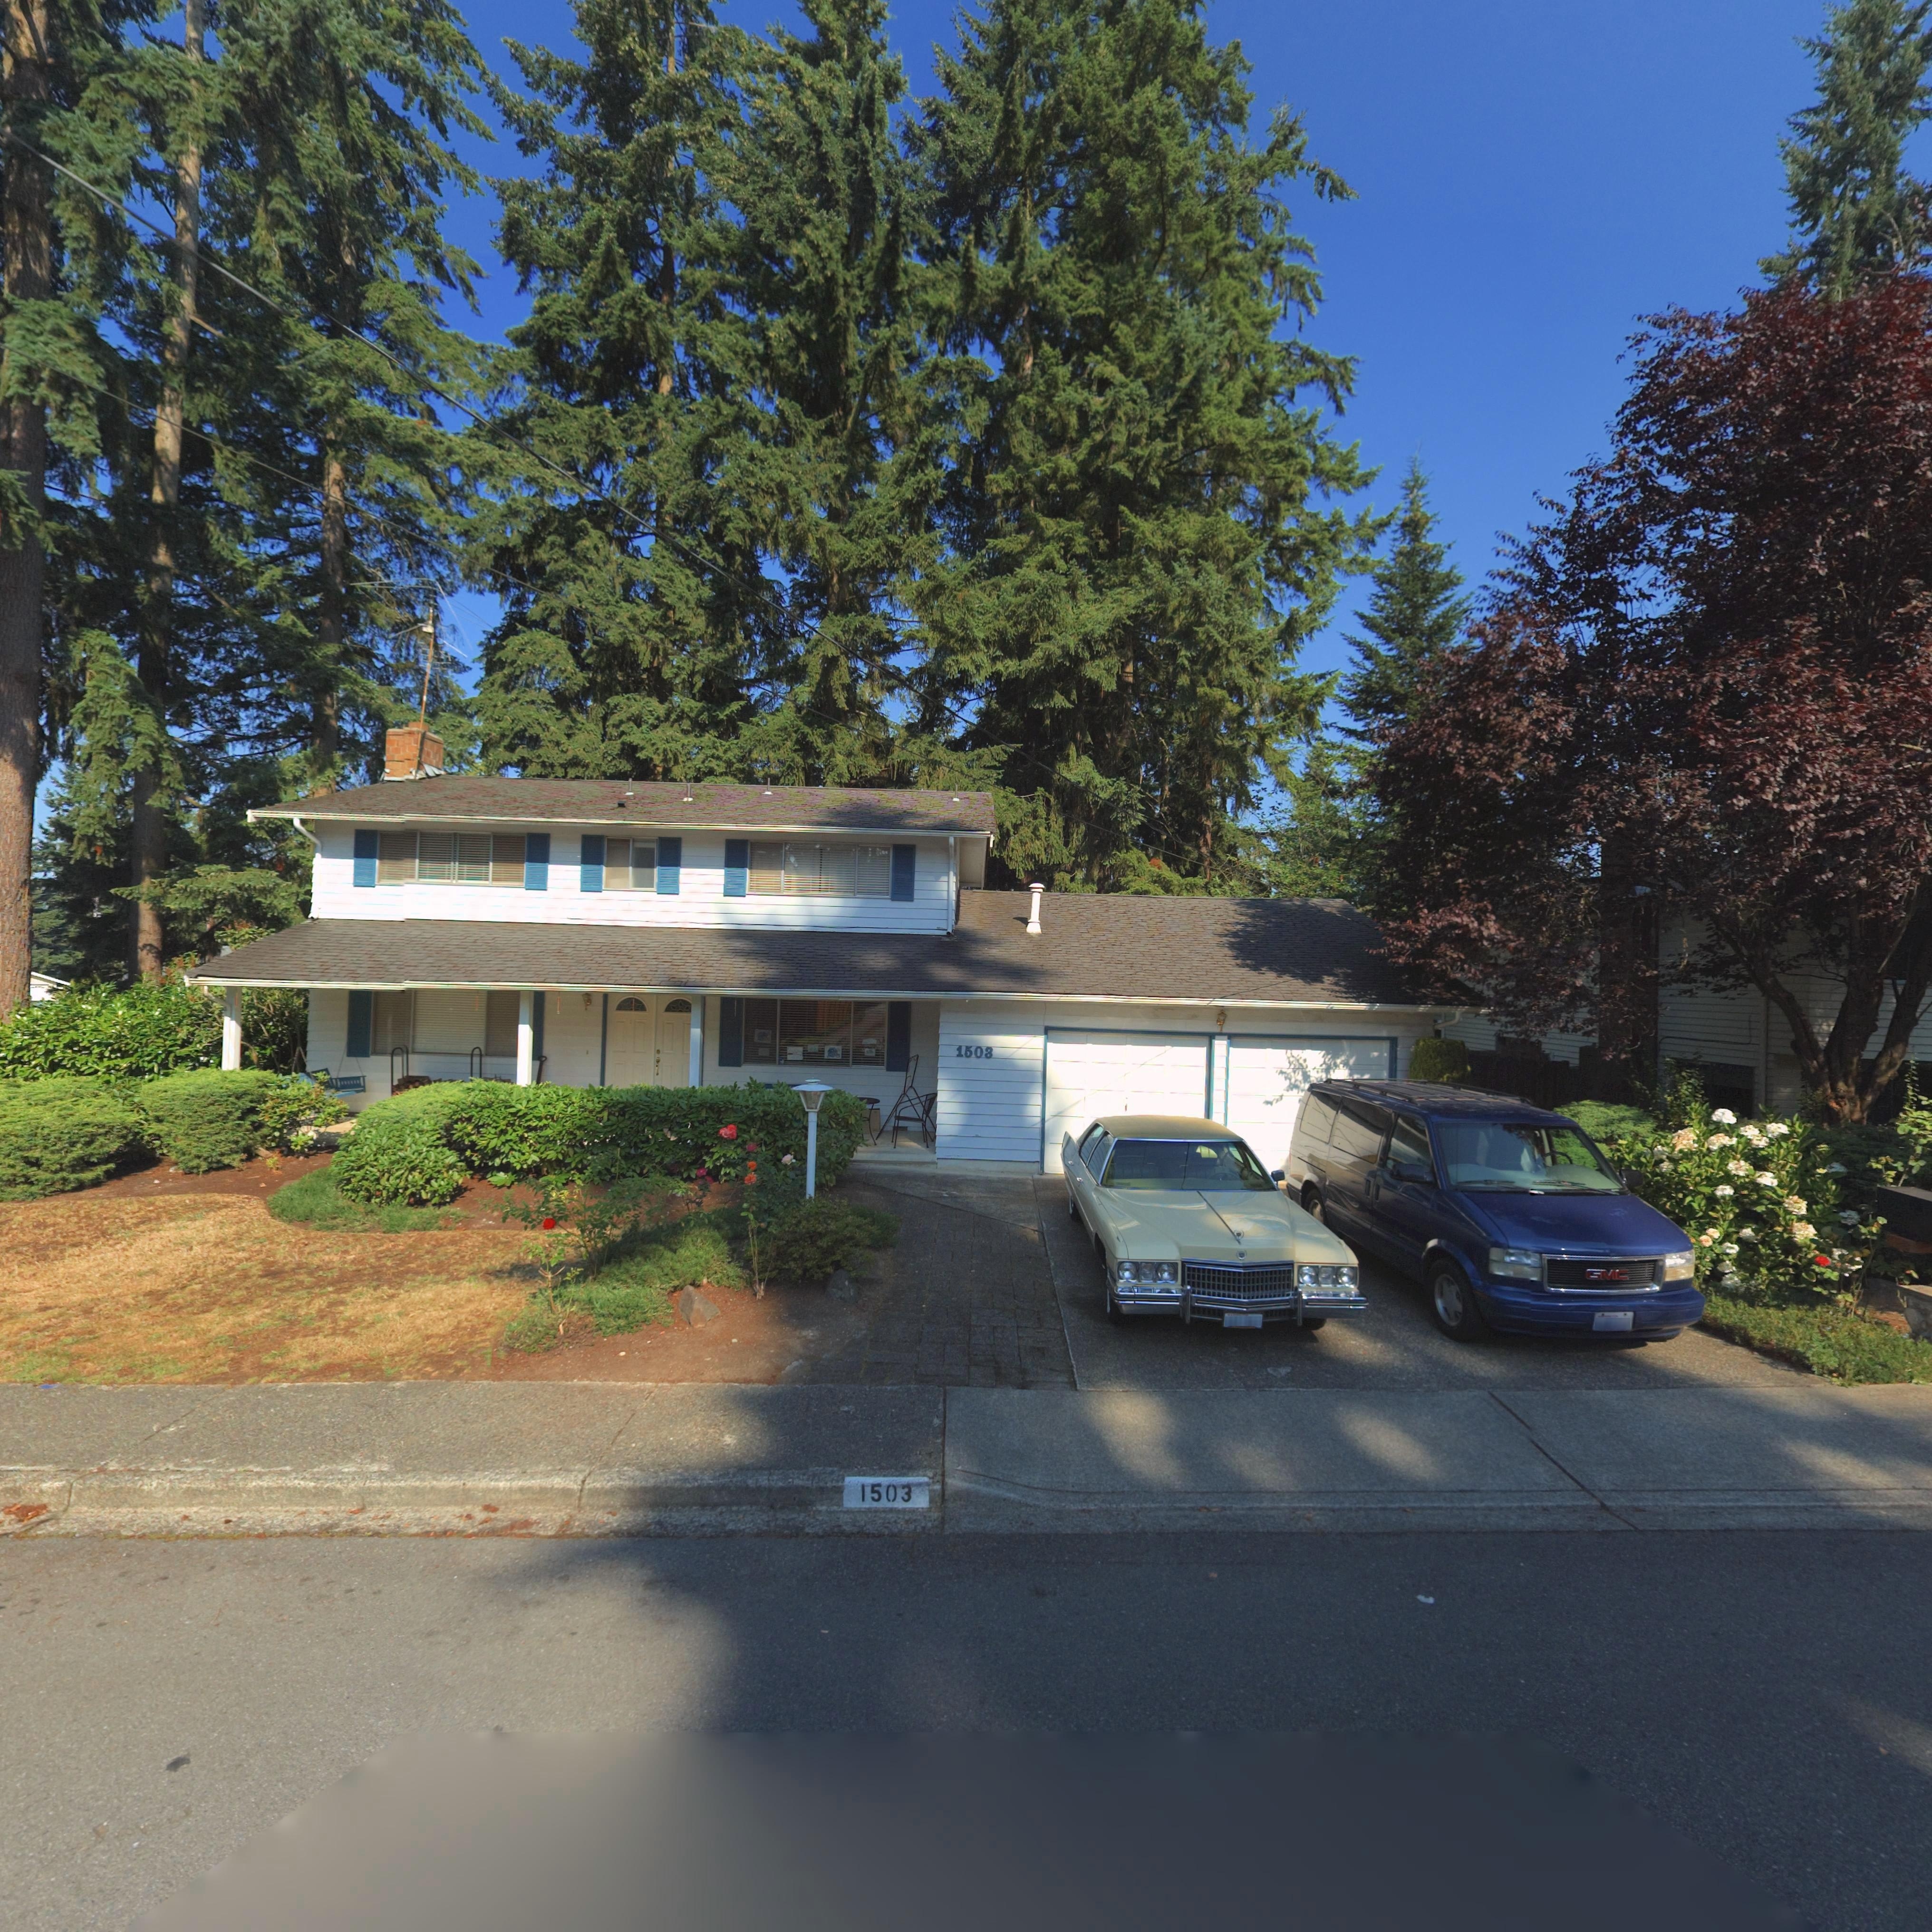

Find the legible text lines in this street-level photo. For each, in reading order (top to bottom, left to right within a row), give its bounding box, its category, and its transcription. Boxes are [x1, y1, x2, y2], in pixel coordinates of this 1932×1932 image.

[956, 1044, 994, 1059] StreetNumber: 1503
[860, 1482, 913, 1503] StreetNumber: 1503